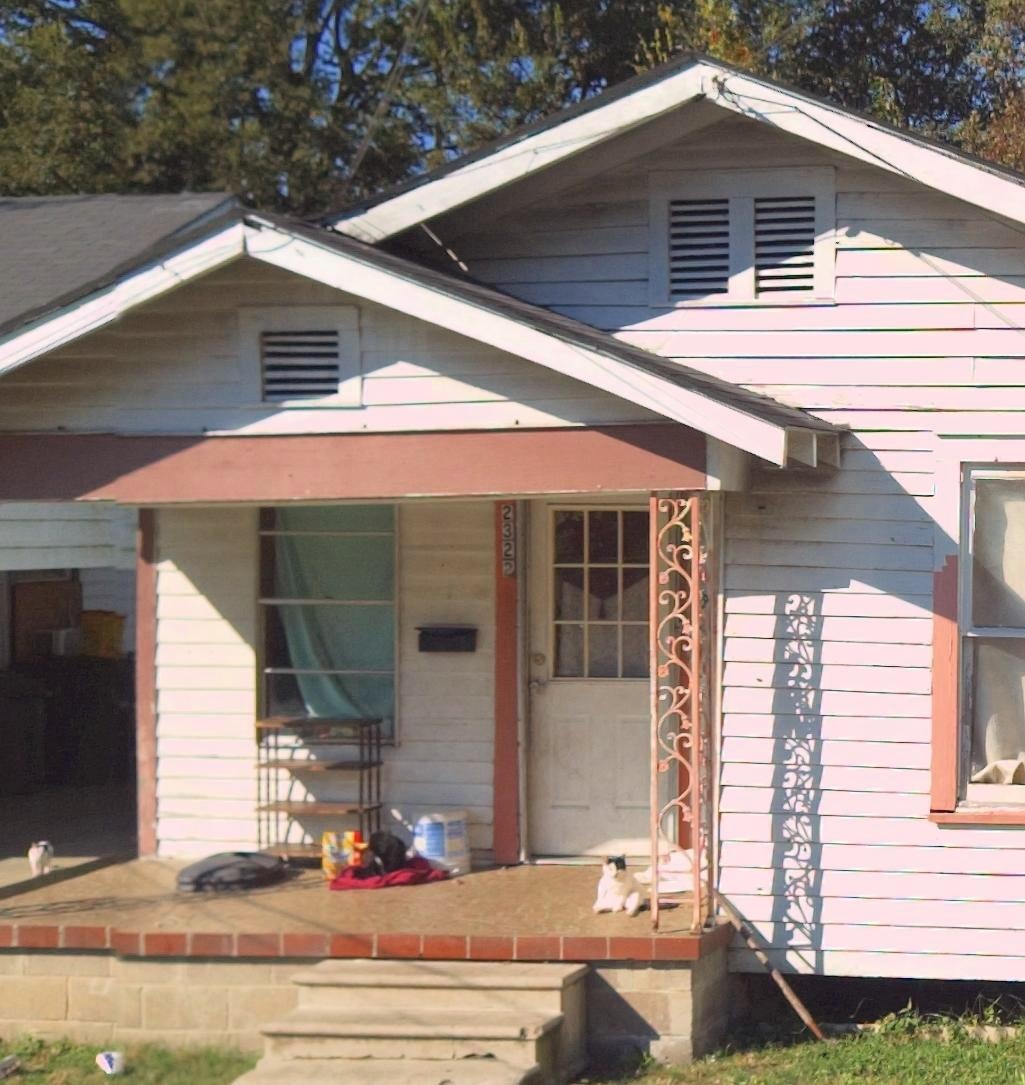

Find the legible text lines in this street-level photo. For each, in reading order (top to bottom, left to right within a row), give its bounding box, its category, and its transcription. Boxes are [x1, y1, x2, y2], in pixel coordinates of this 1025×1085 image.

[500, 503, 515, 578] StreetNumber: 2322